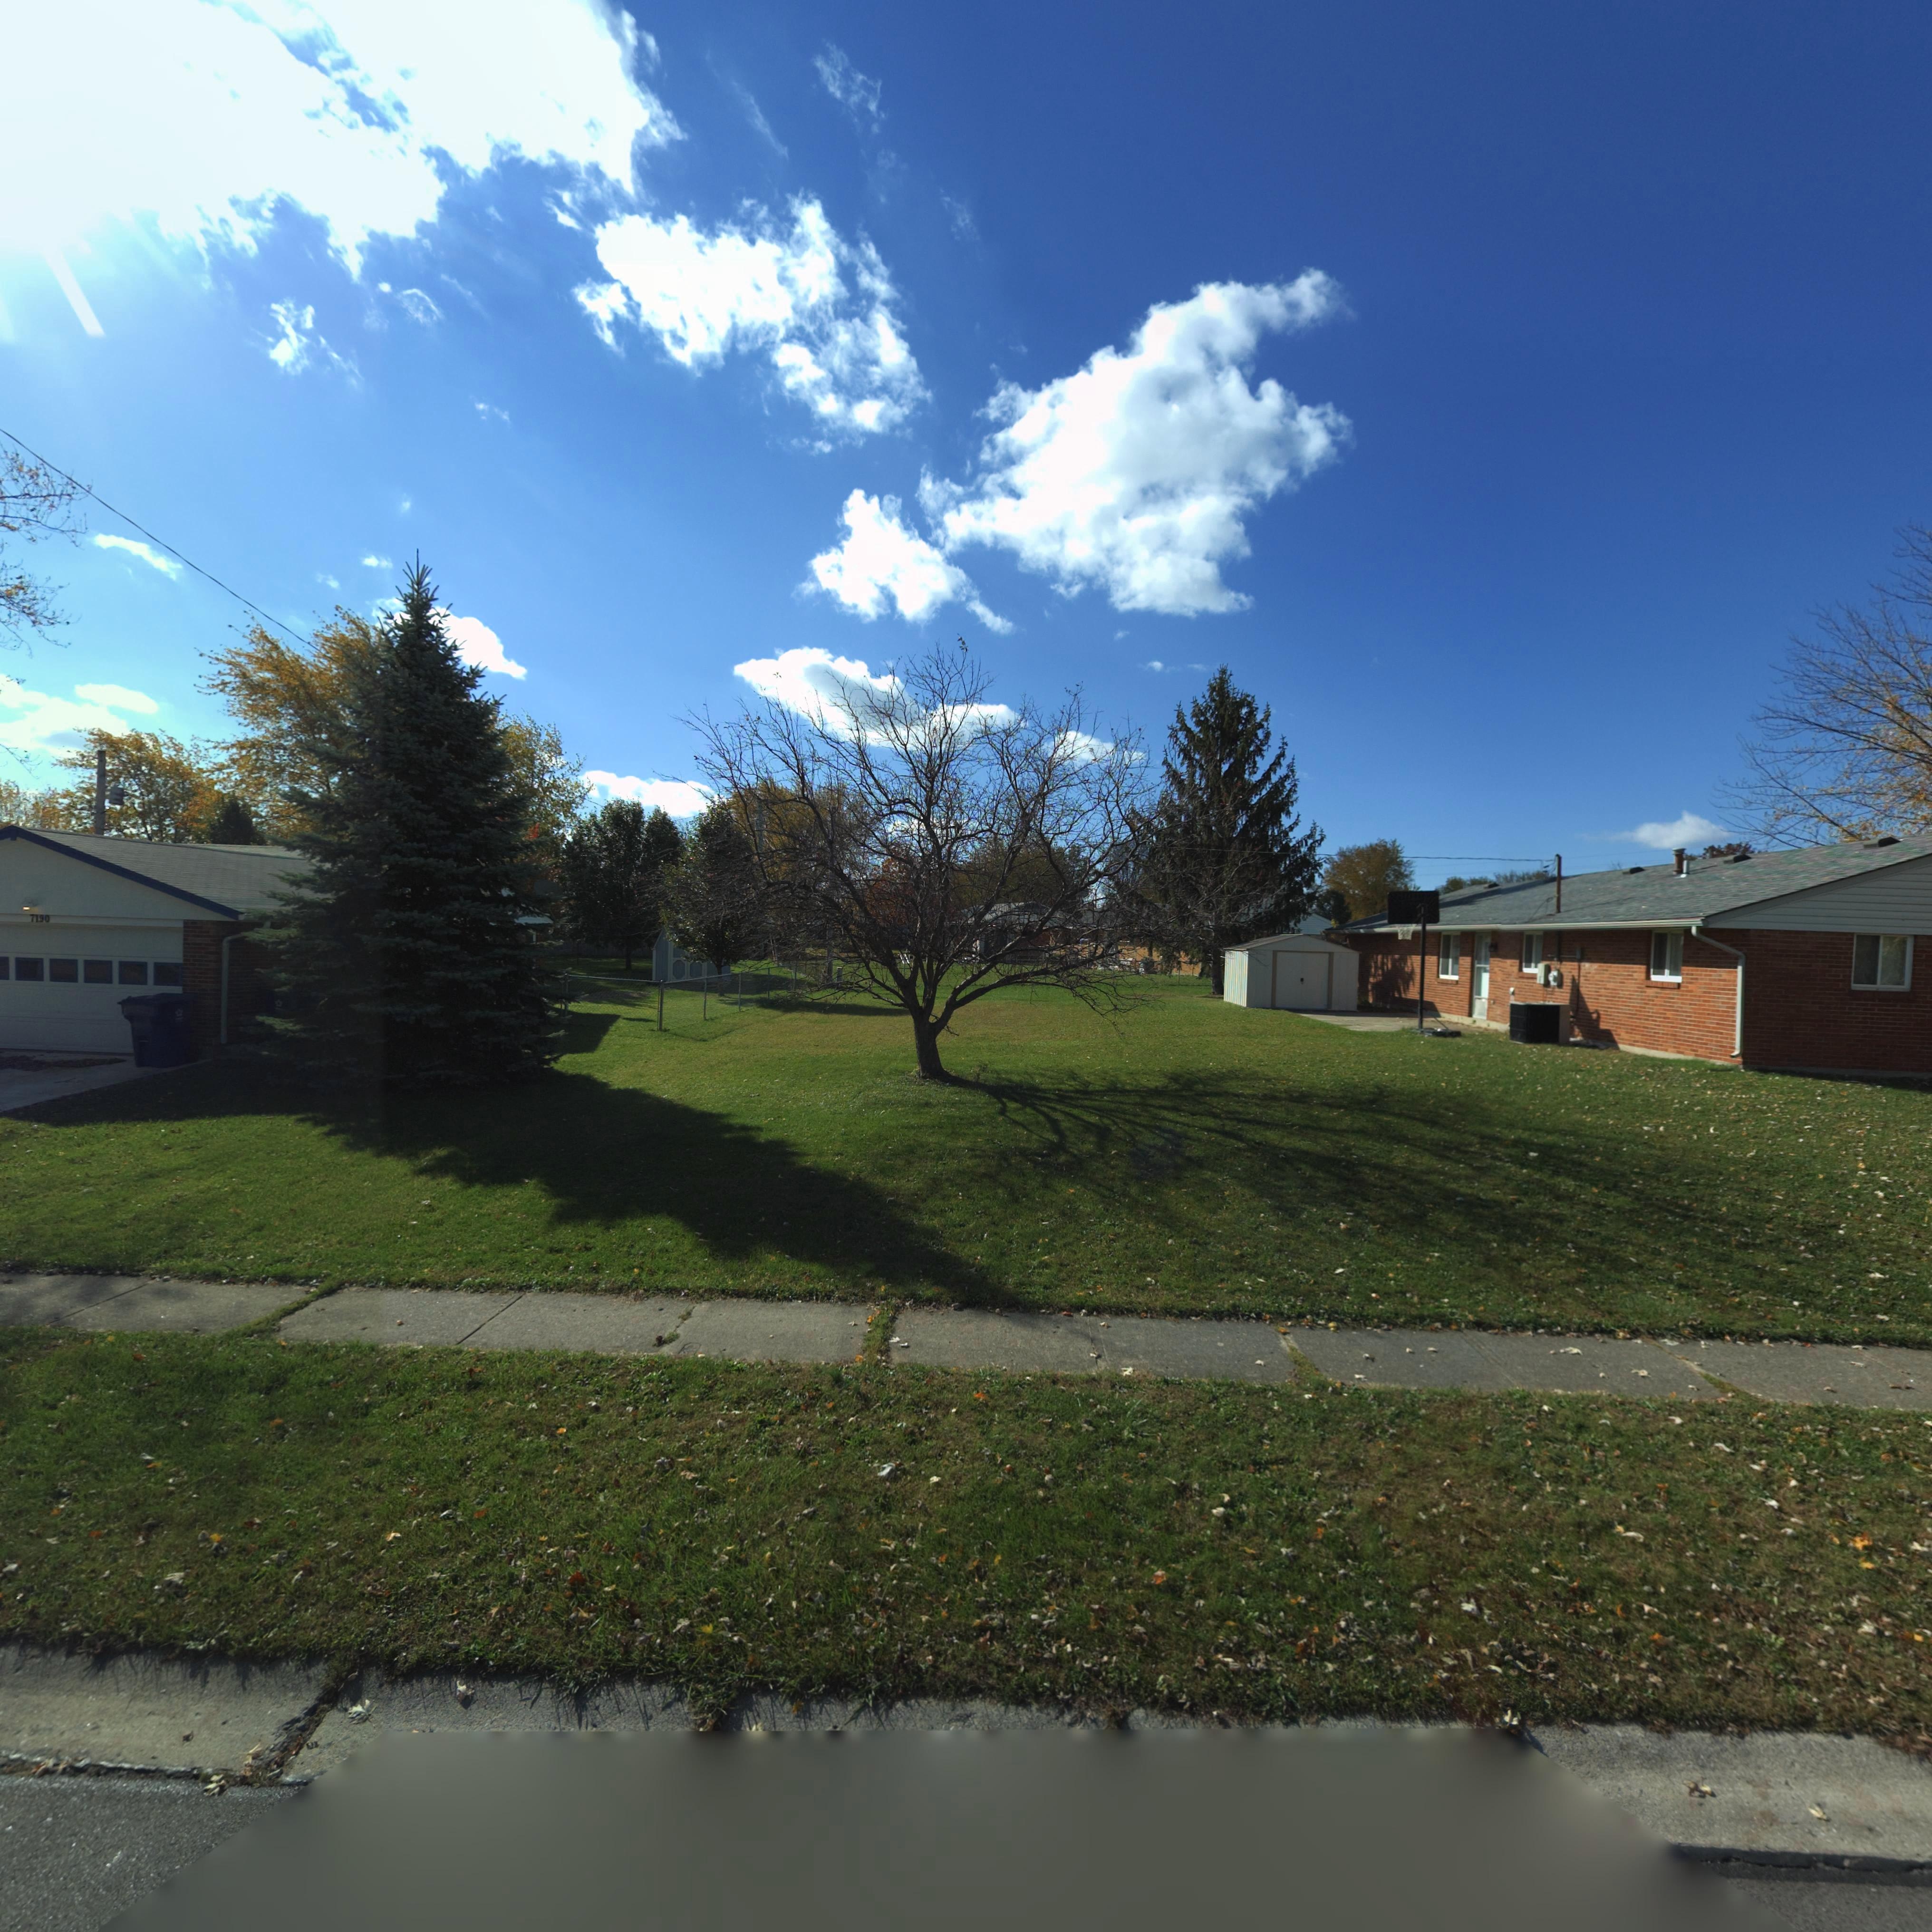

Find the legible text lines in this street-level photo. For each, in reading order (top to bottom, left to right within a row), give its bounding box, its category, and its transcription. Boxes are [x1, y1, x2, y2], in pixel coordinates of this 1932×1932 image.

[29, 913, 51, 924] StreetNumber: 7190